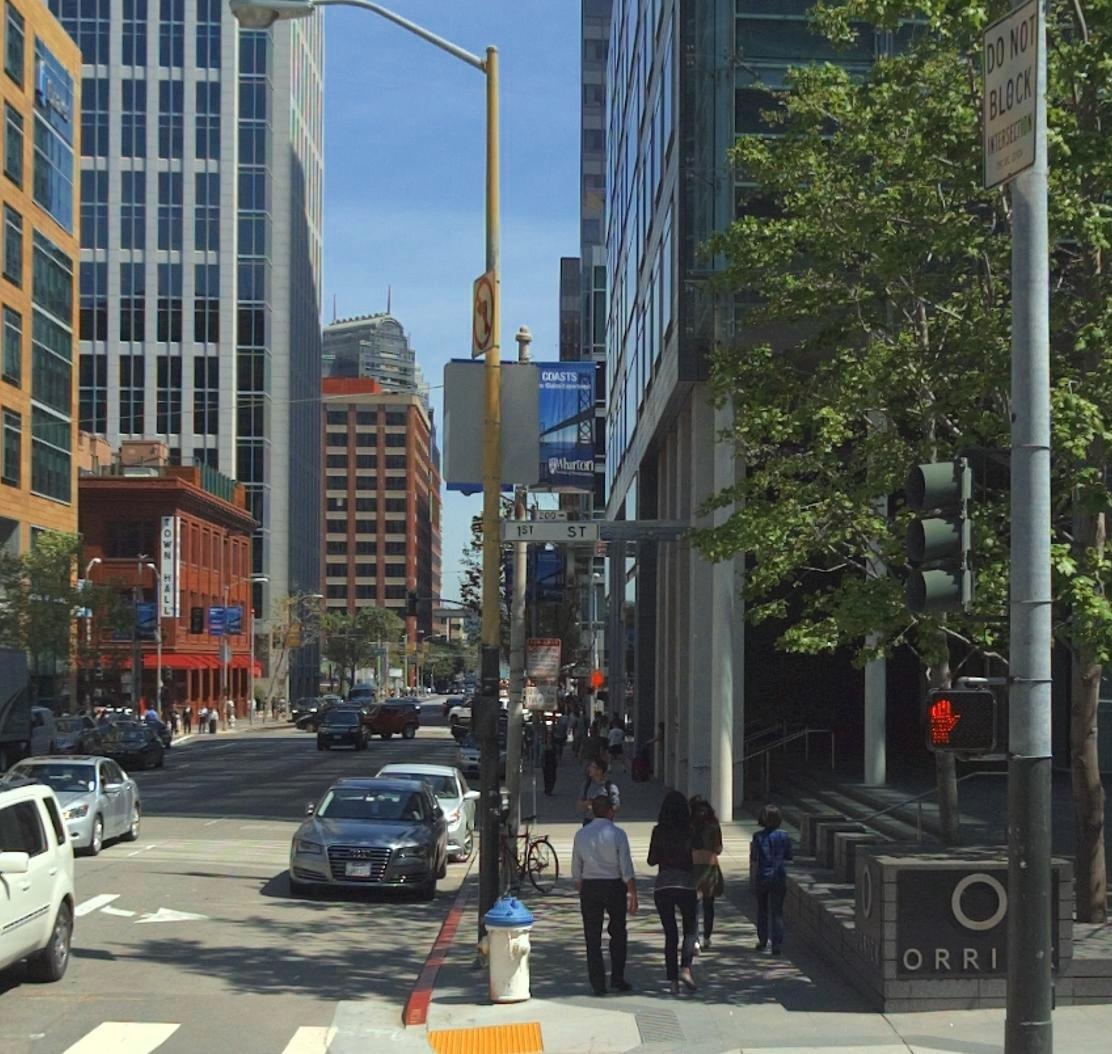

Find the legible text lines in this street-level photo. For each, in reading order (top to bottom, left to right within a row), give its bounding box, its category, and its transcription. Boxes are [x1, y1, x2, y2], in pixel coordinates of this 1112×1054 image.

[986, 9, 1035, 76] None: DO NOT
[987, 61, 1033, 123] None: BLOCK
[987, 110, 1032, 157] None: INTERSECTION
[540, 370, 578, 381] None: COASTS
[516, 524, 587, 538] StreetName: 1ST ST
[538, 511, 566, 519] StreetNumberRange: 200->
[162, 517, 172, 615] None: TOWN HALL
[857, 859, 873, 926] None: O
[950, 872, 1008, 932] None: O
[902, 945, 1000, 971] None: ORRI